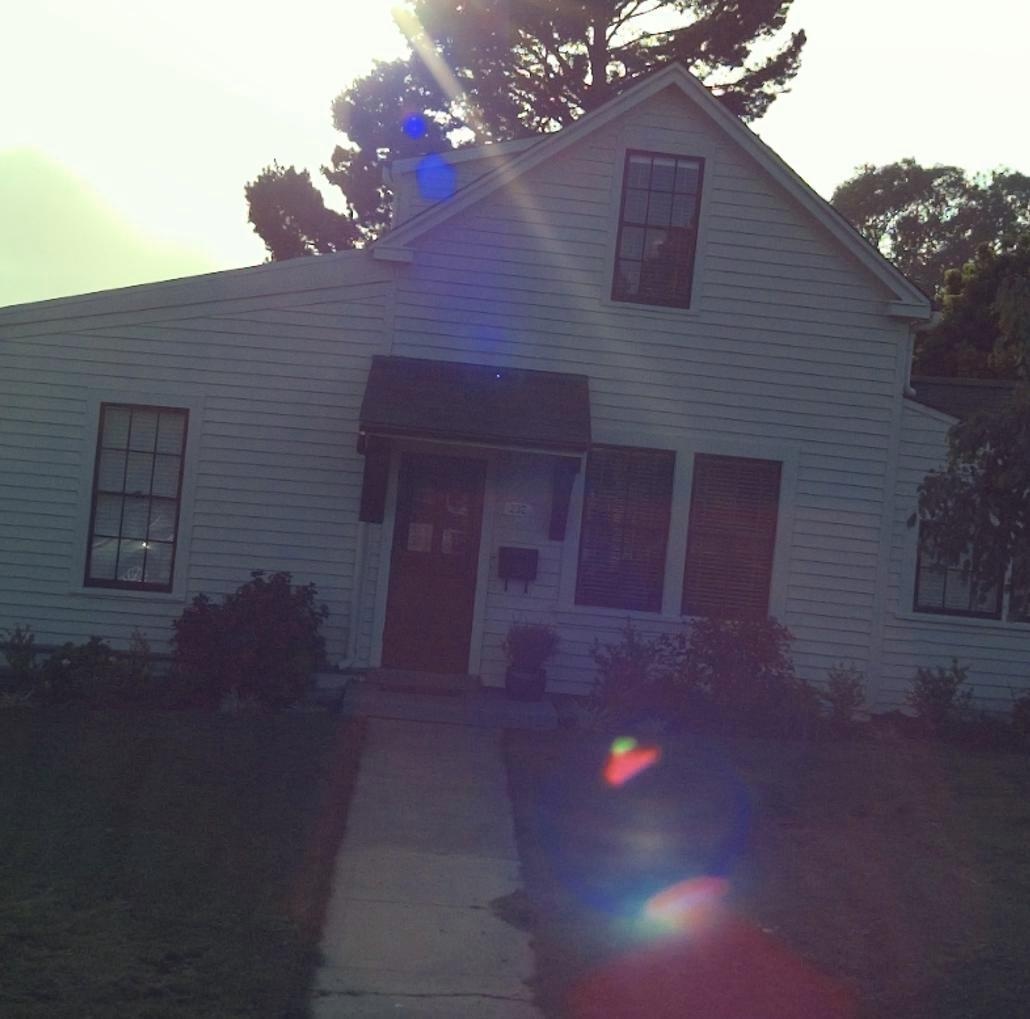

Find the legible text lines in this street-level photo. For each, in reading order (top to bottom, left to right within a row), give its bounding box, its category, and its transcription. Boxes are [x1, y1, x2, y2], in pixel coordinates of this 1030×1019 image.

[507, 502, 530, 517] StreetNumber: 232